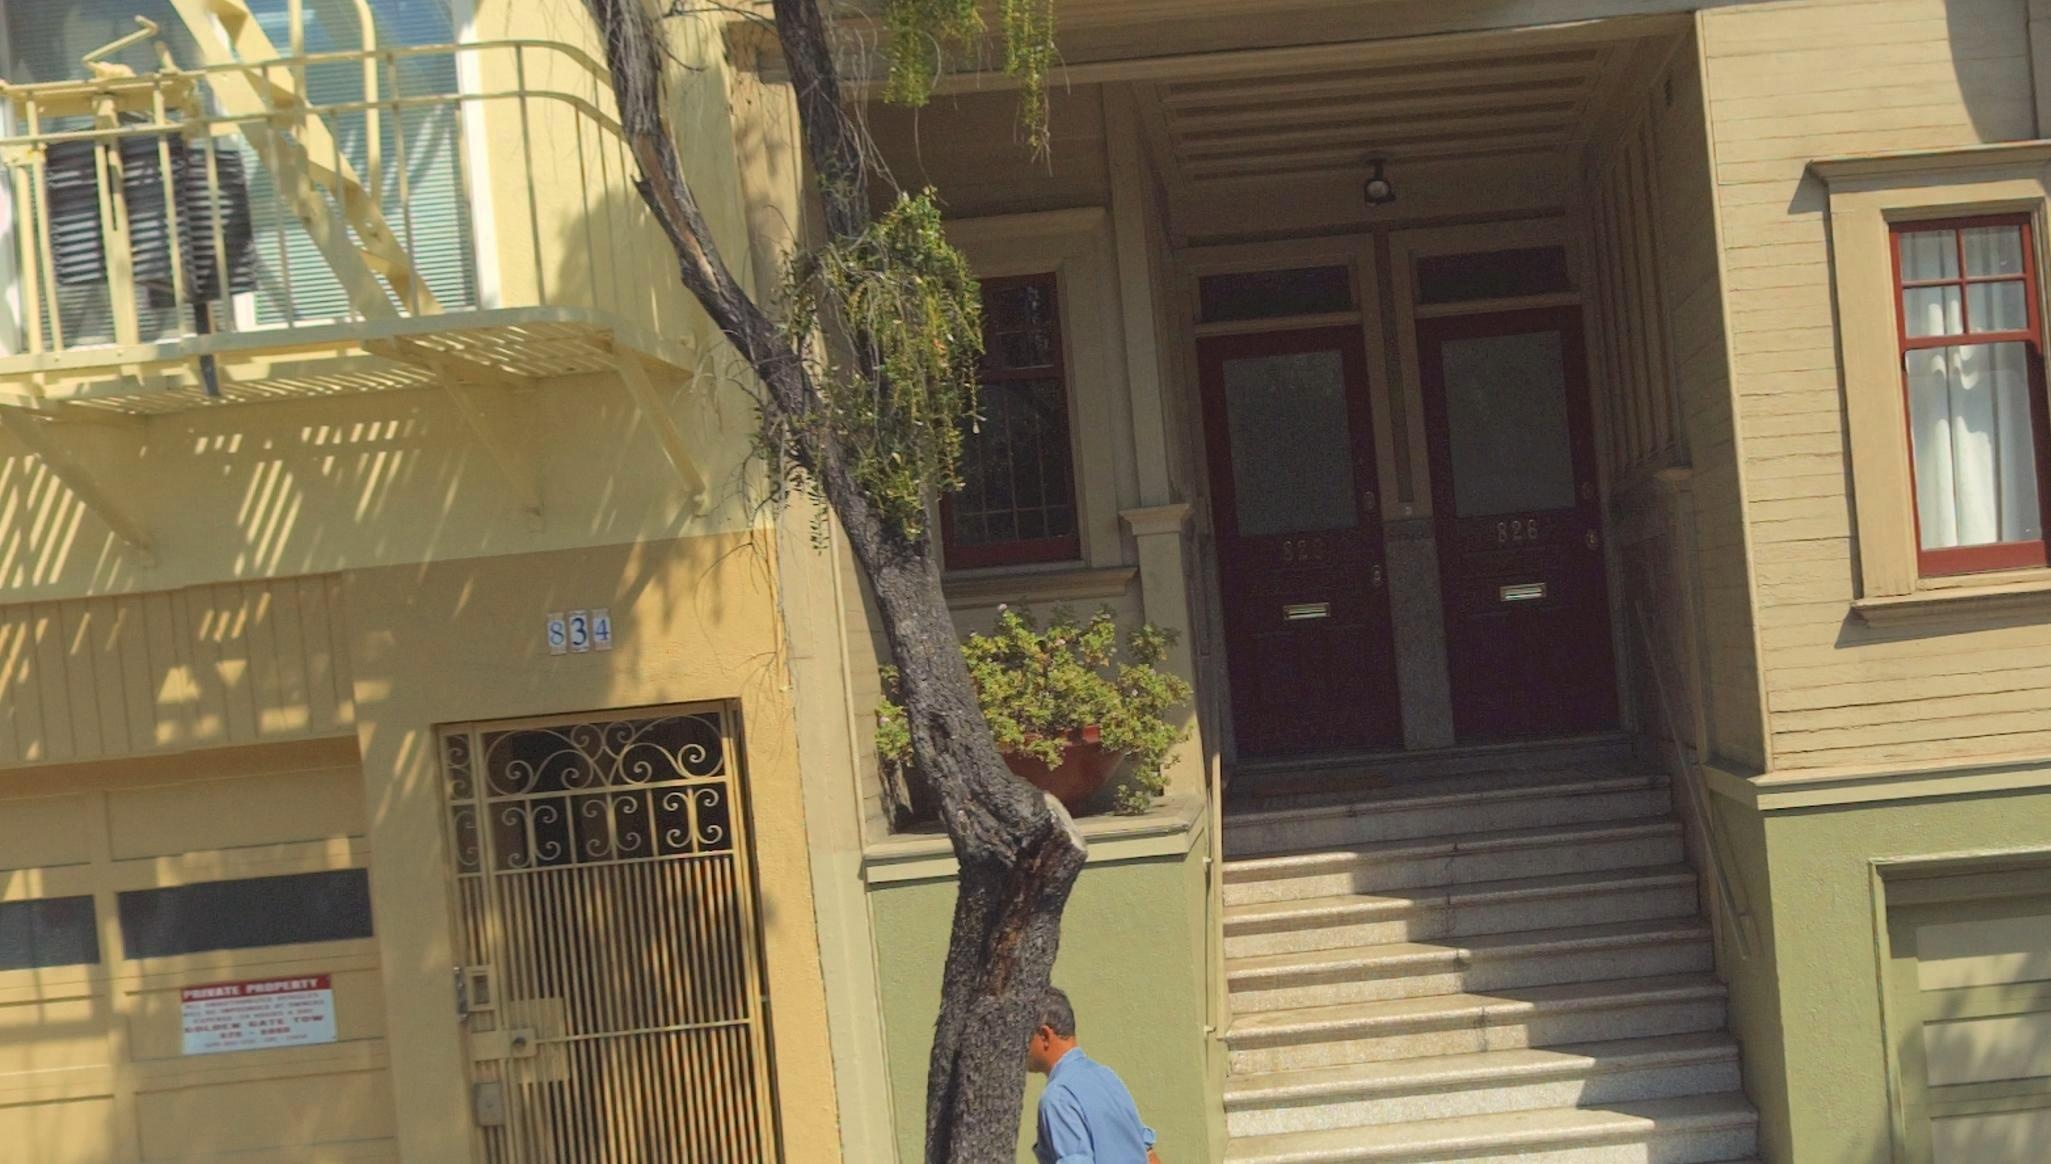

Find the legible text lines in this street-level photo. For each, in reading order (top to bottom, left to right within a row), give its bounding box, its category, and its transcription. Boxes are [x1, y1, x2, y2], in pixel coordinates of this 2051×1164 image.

[1495, 516, 1541, 546] StreetNumber: 826
[1278, 536, 1327, 564] StreetNumber: 82*
[547, 613, 612, 649] StreetNumber: 834
[181, 976, 322, 1003] None: PRIVATE PROPERTY